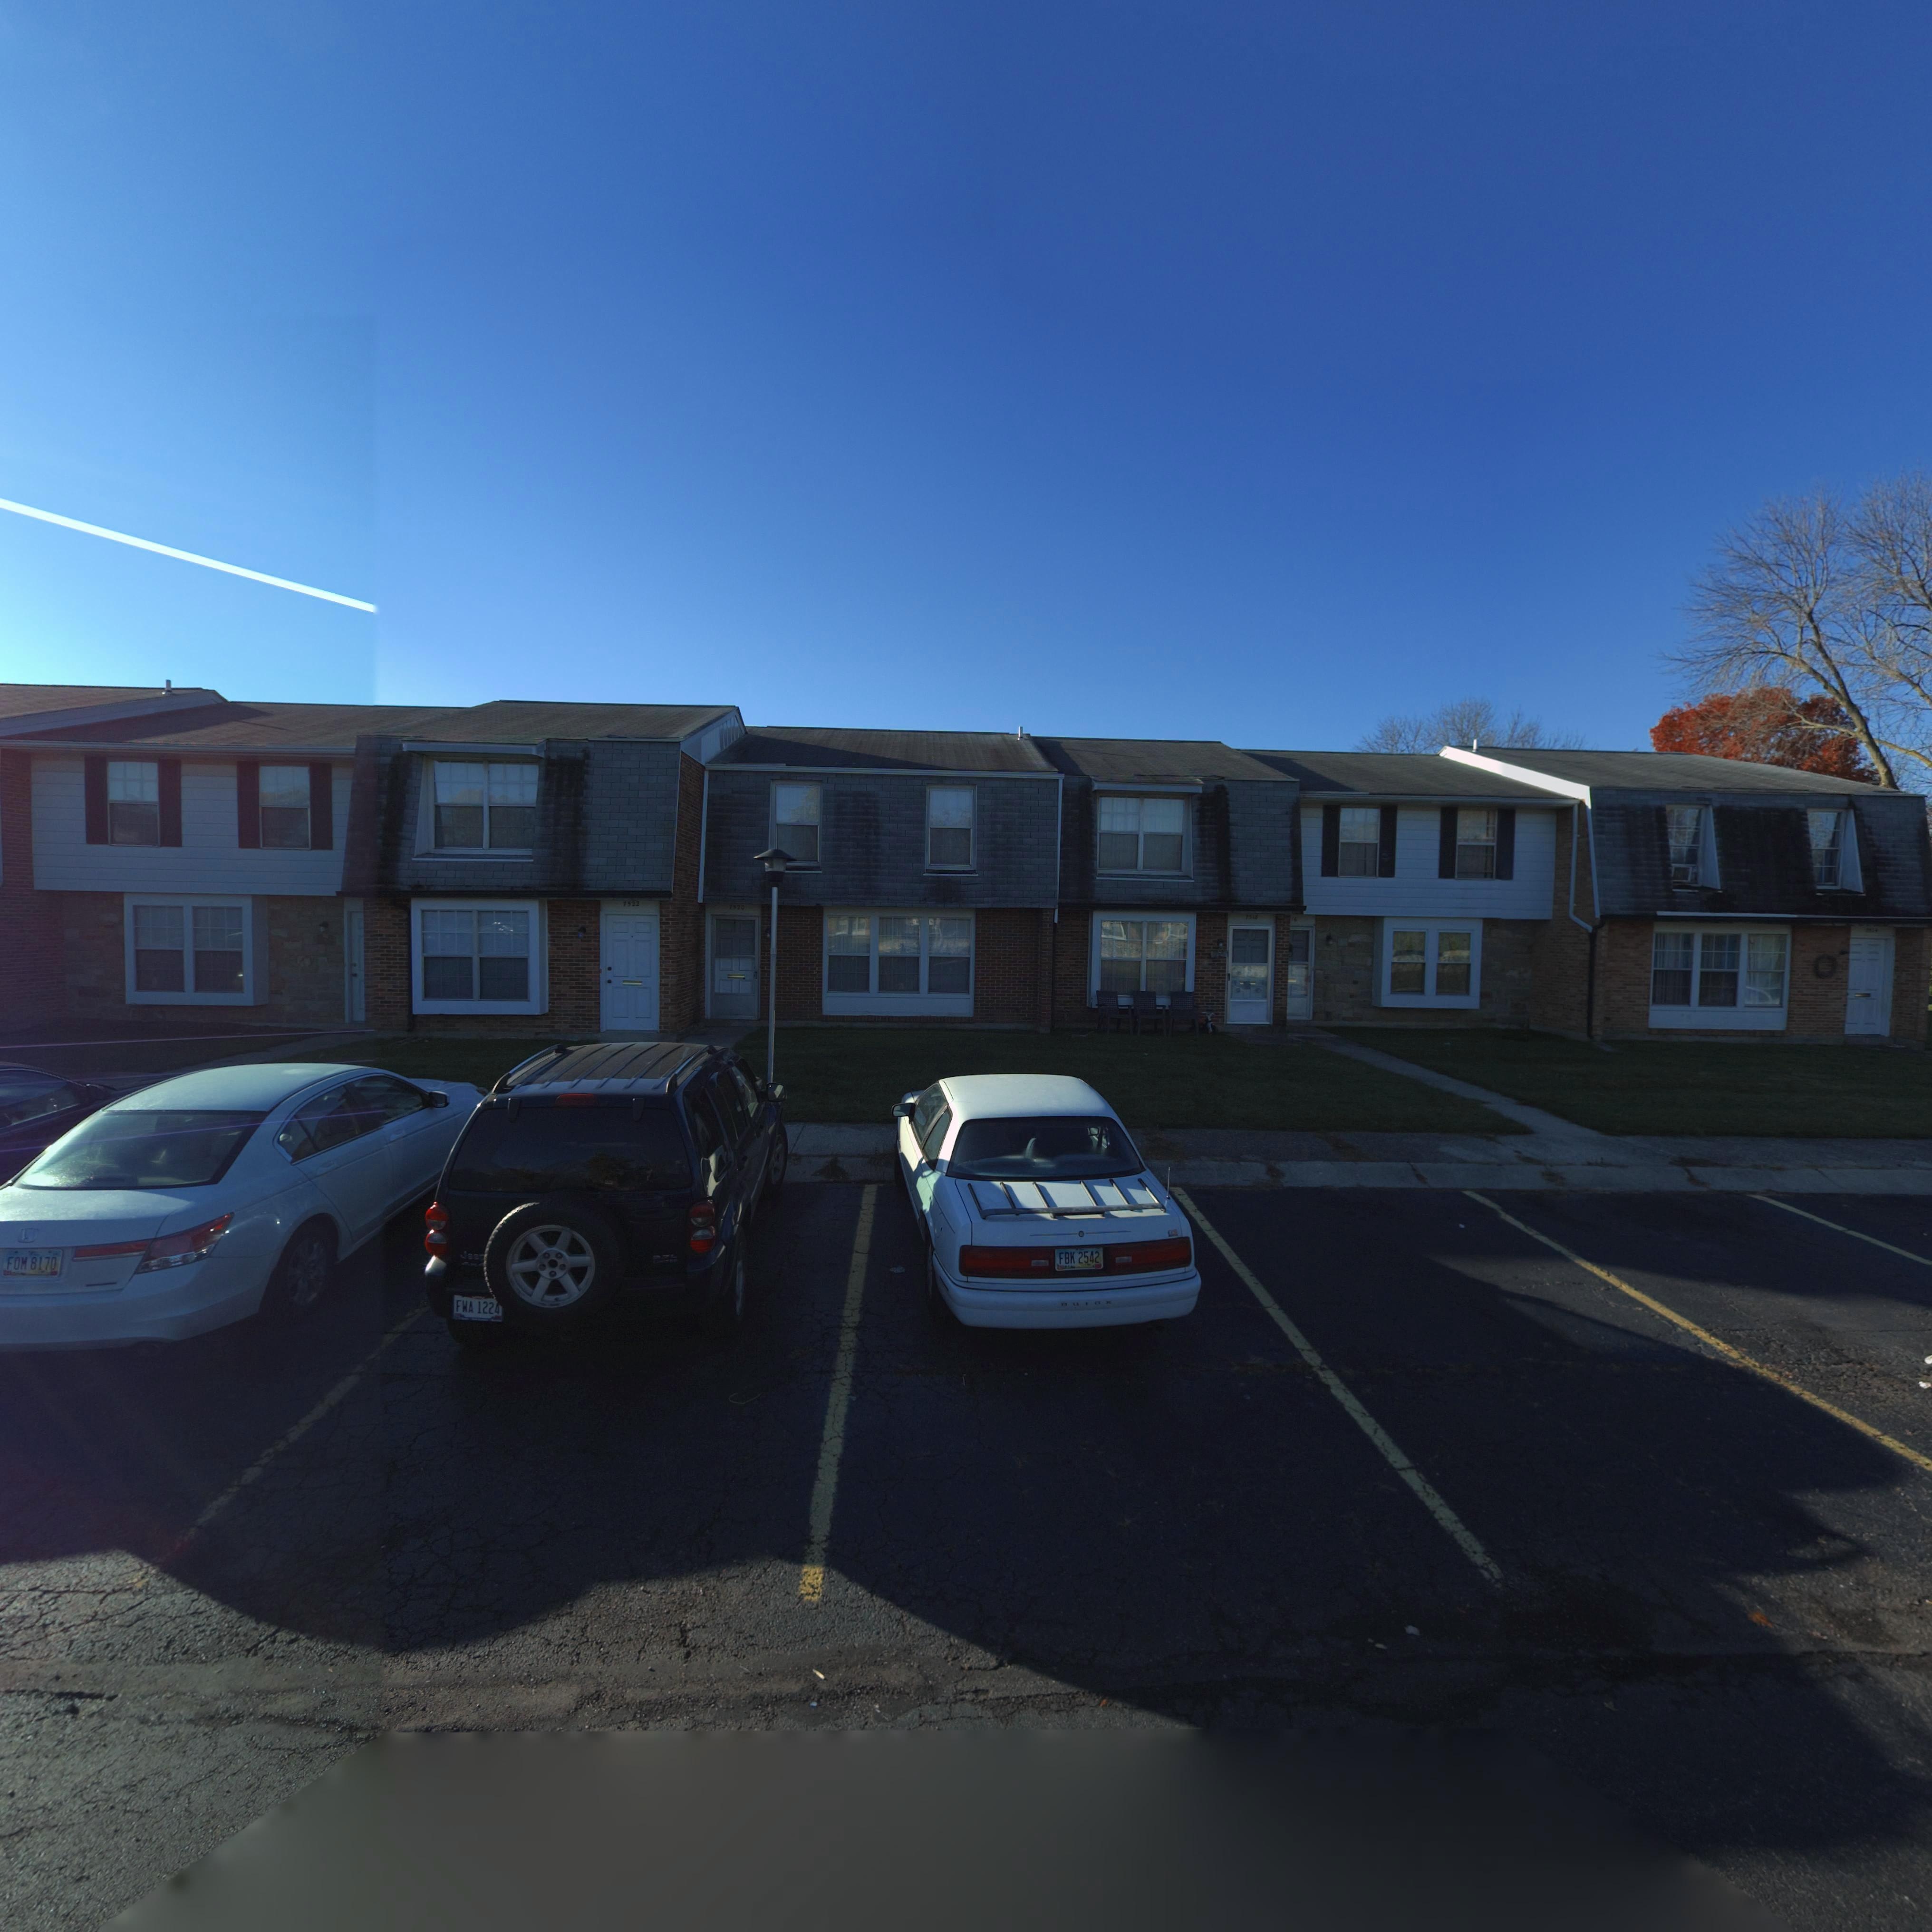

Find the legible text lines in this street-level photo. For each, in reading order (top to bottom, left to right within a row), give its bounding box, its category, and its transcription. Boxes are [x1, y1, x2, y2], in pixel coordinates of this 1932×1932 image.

[621, 899, 641, 908] StreetNumber: 7522
[729, 904, 745, 911] StreetNumber: 7520
[1245, 914, 1259, 921] StreetNumber: 7518
[1290, 916, 1298, 923] StreetNumber: 16